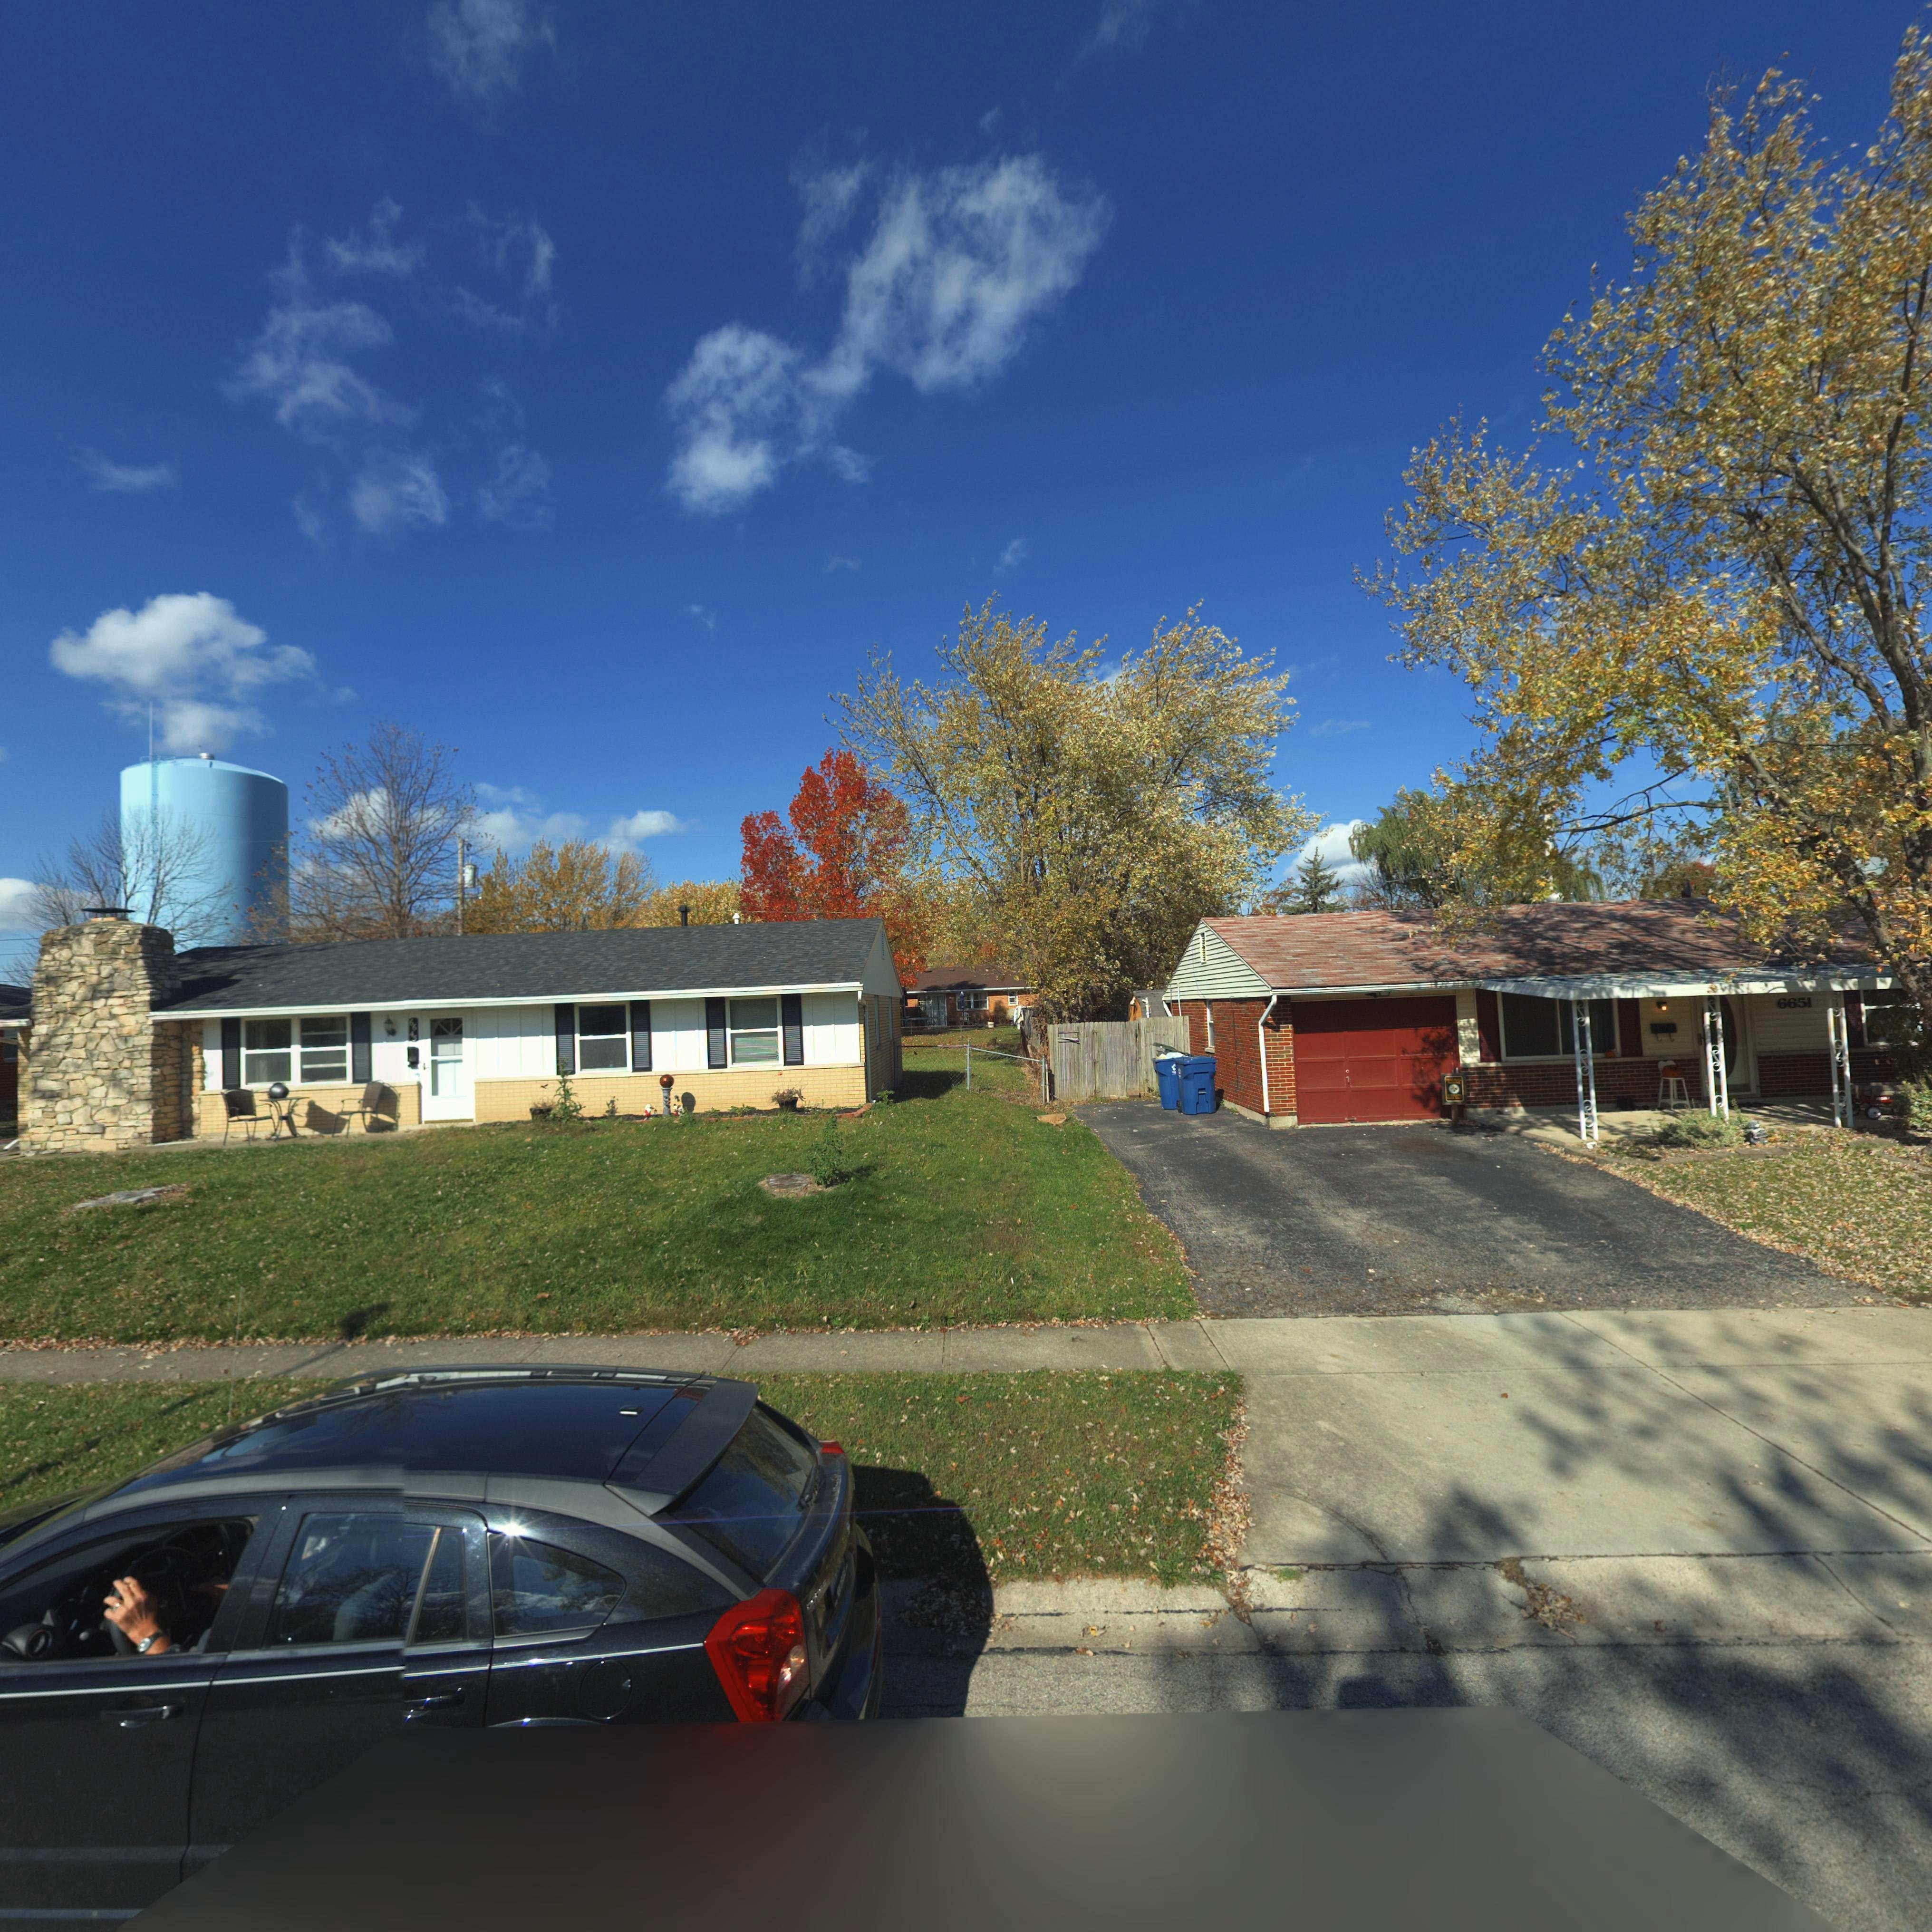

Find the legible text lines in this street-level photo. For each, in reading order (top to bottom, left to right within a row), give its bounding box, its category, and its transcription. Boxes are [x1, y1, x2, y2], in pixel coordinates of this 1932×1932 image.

[1777, 996, 1813, 1009] StreetNumber: 6651
[408, 1018, 418, 1032] StreetNumber: 66
[408, 1030, 418, 1042] StreetNumber: 45